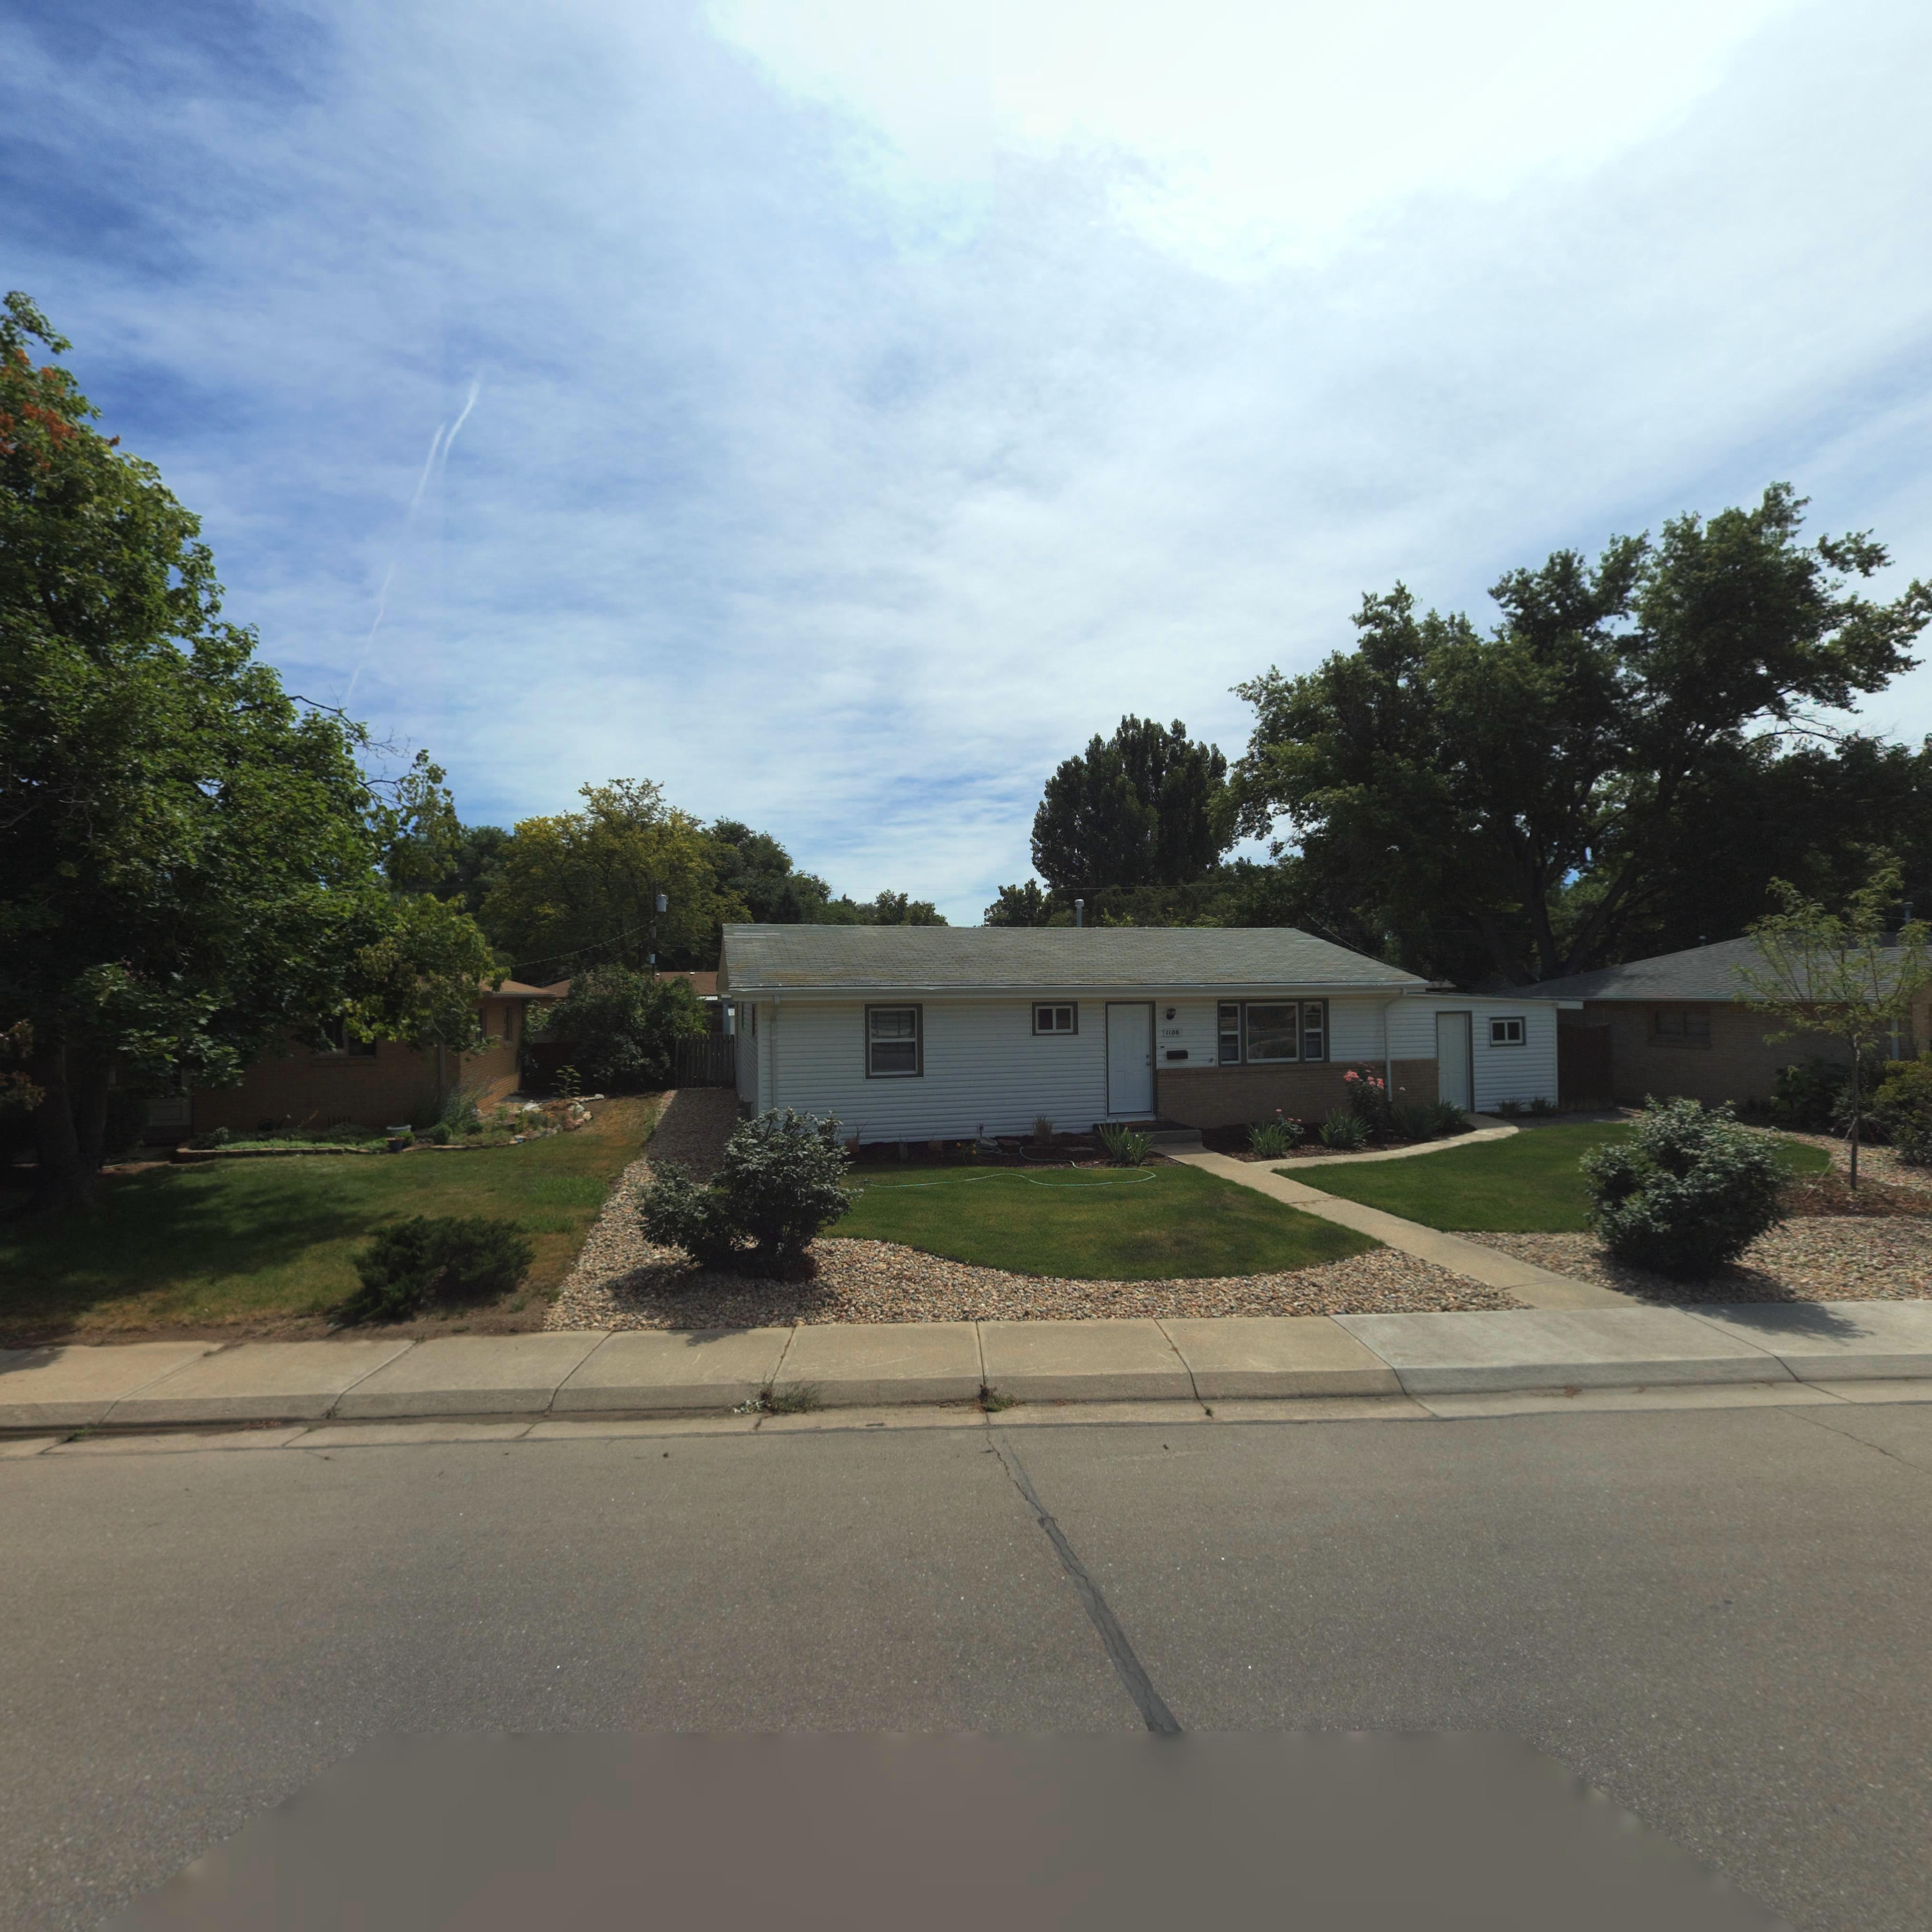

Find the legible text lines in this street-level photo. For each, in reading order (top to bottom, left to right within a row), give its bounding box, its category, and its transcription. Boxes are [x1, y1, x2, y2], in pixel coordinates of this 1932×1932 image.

[1166, 1029, 1179, 1035] StreetNumber: 1106